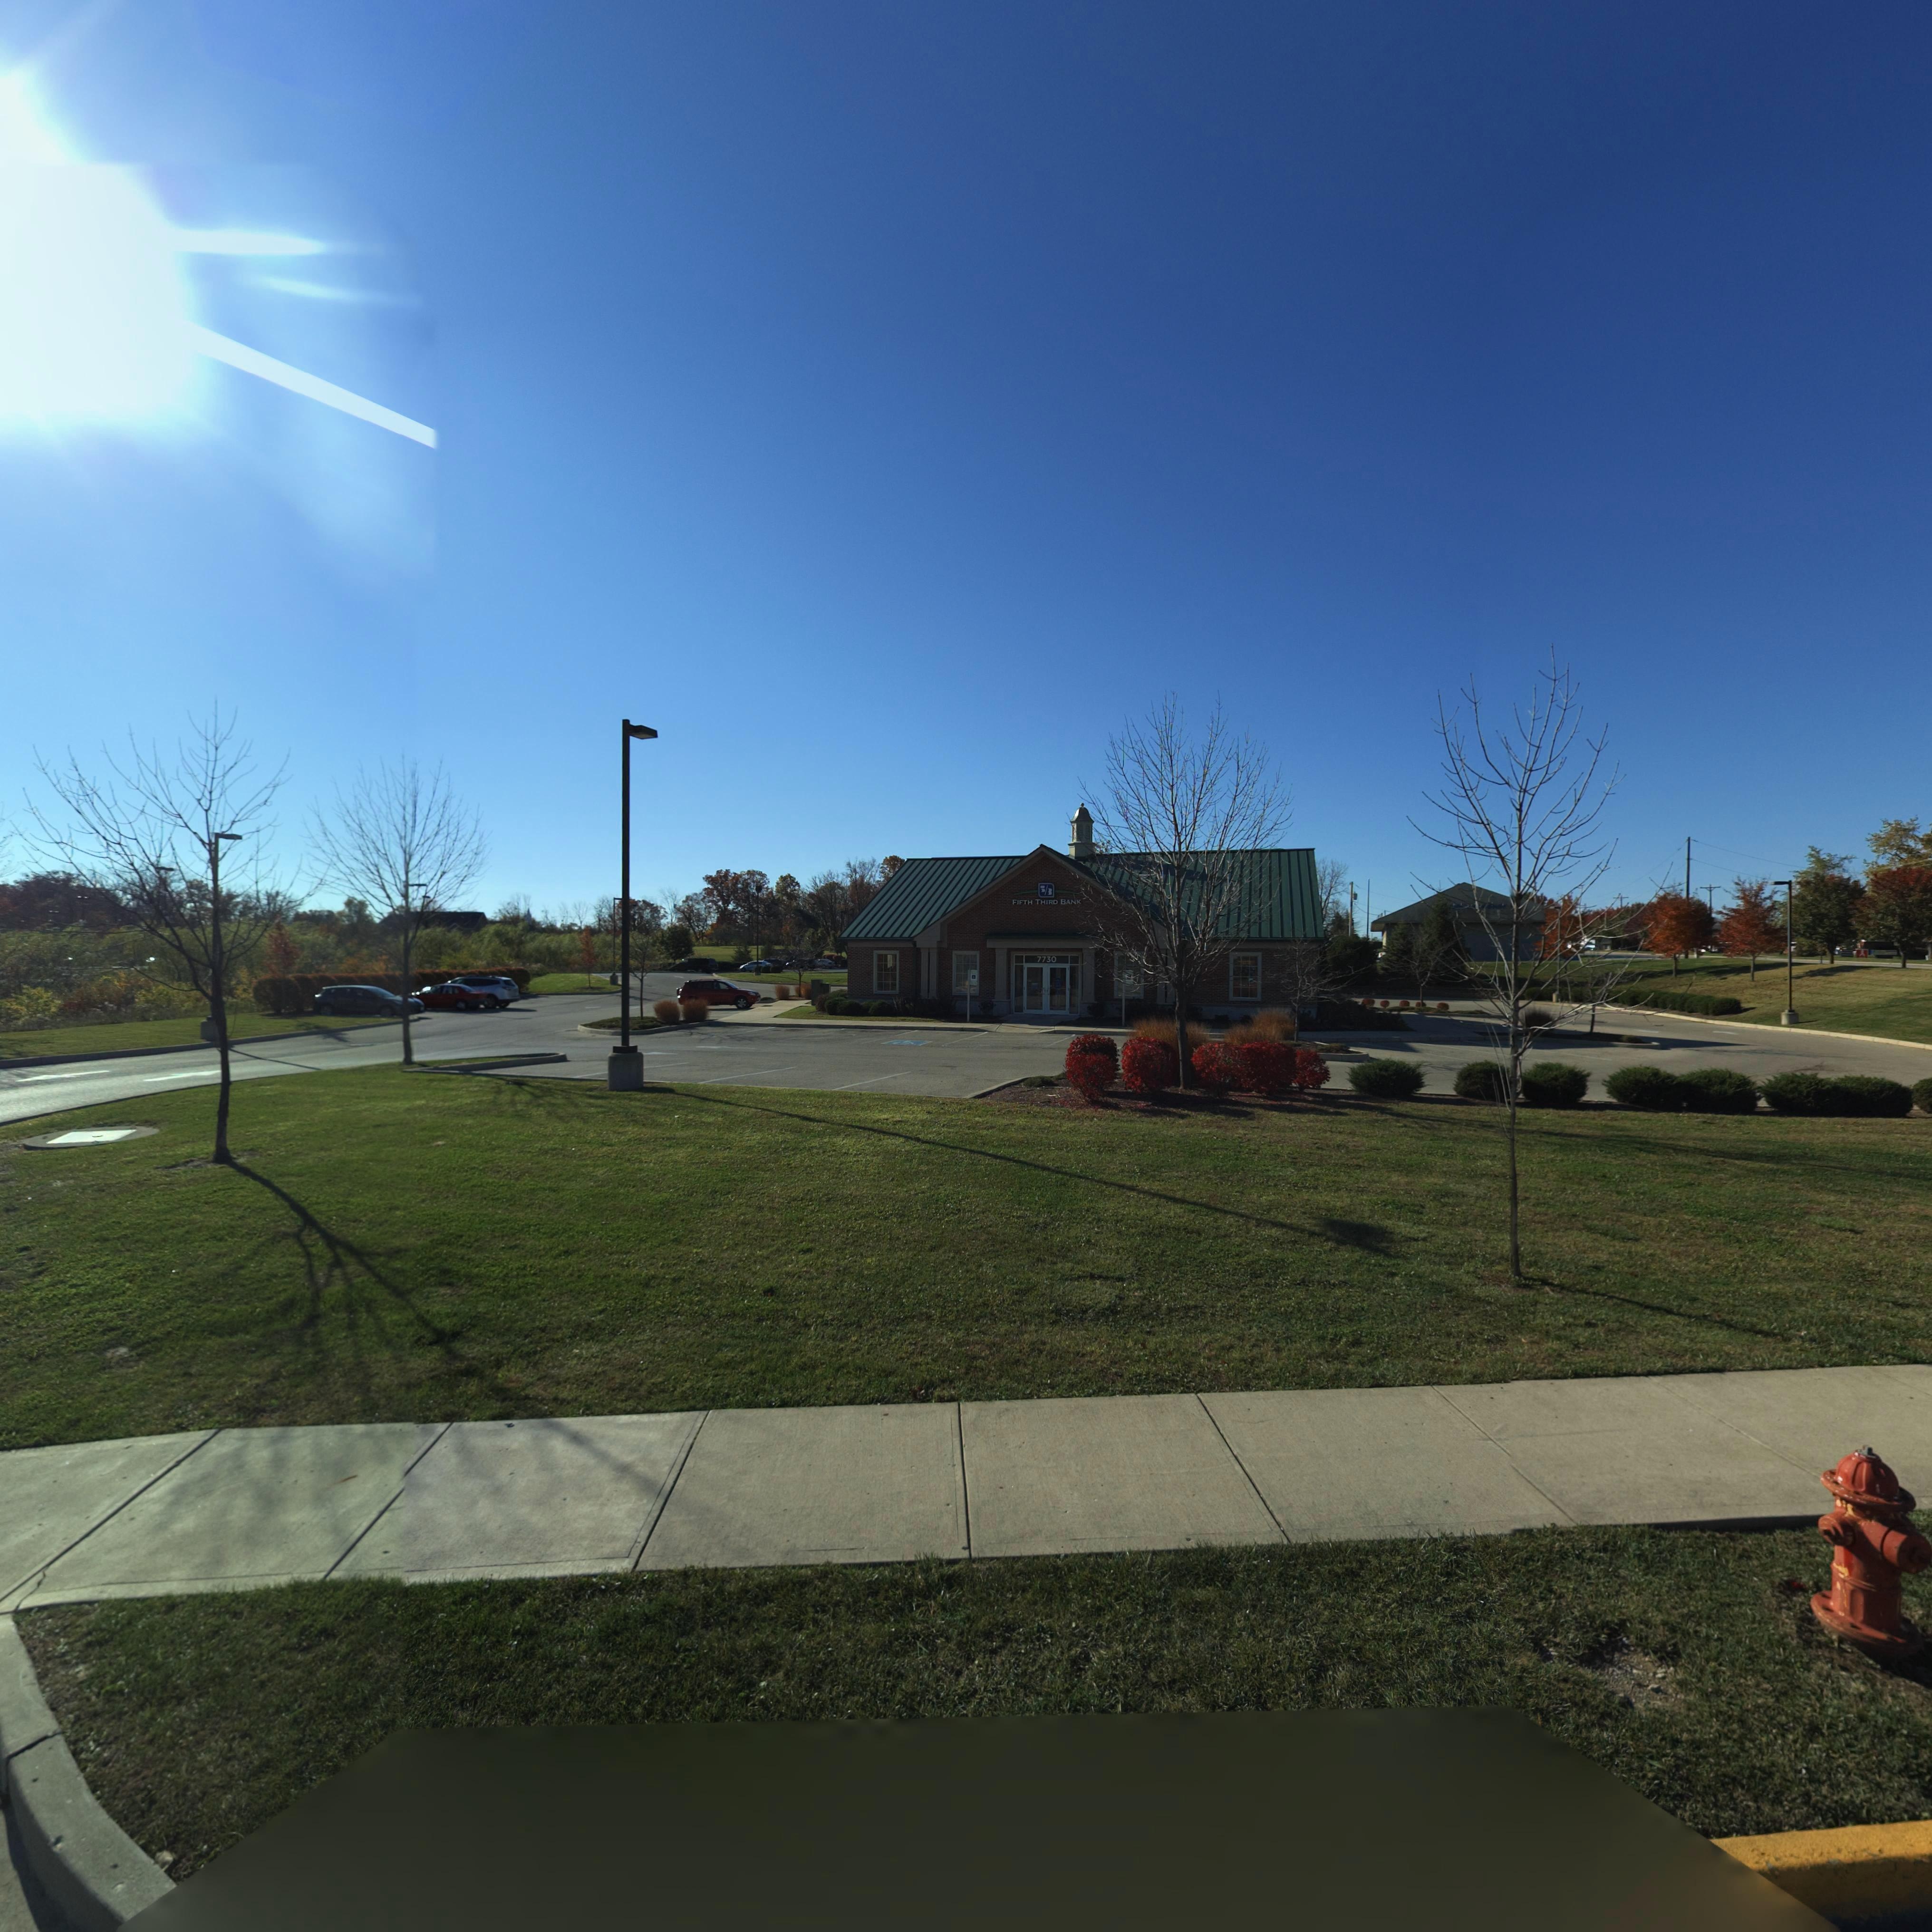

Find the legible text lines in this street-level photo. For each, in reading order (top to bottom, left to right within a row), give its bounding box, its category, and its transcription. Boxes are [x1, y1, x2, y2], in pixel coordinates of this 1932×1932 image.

[1037, 956, 1057, 963] StreetNumber: 7730